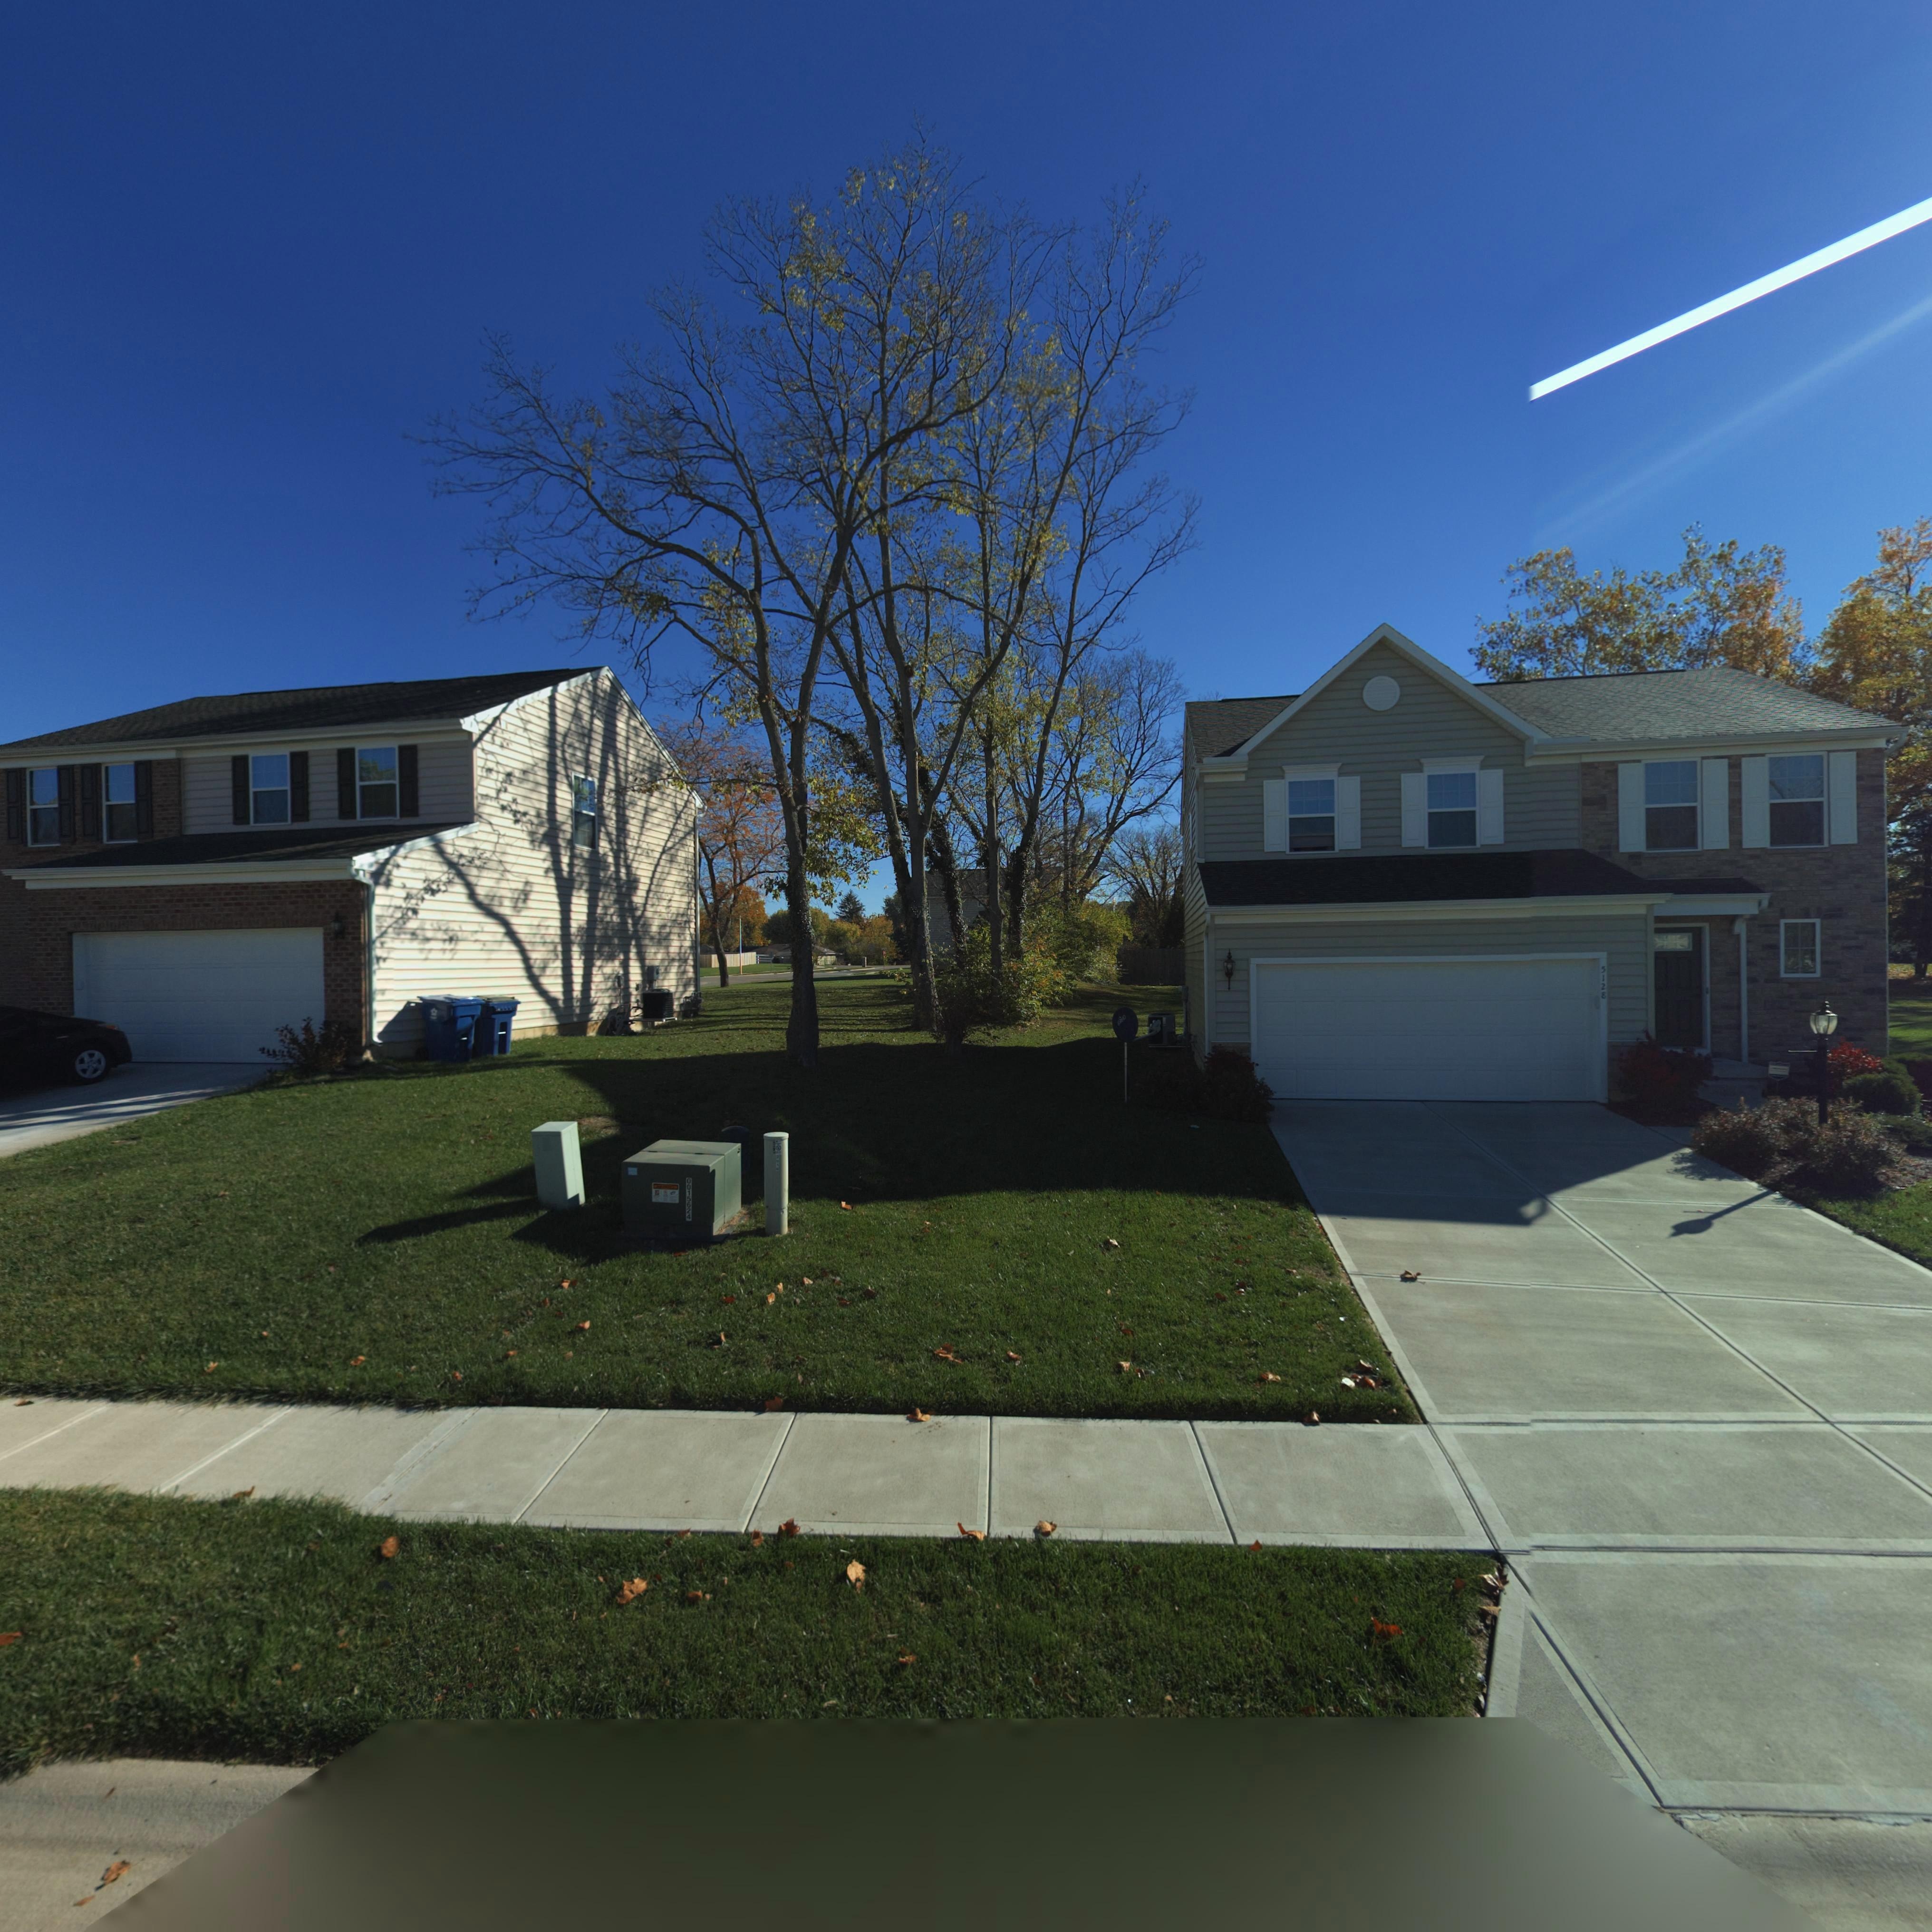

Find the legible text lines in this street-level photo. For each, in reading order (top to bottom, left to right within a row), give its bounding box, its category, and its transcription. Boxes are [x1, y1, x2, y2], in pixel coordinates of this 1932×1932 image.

[1600, 966, 1607, 999] StreetNumber: 5128